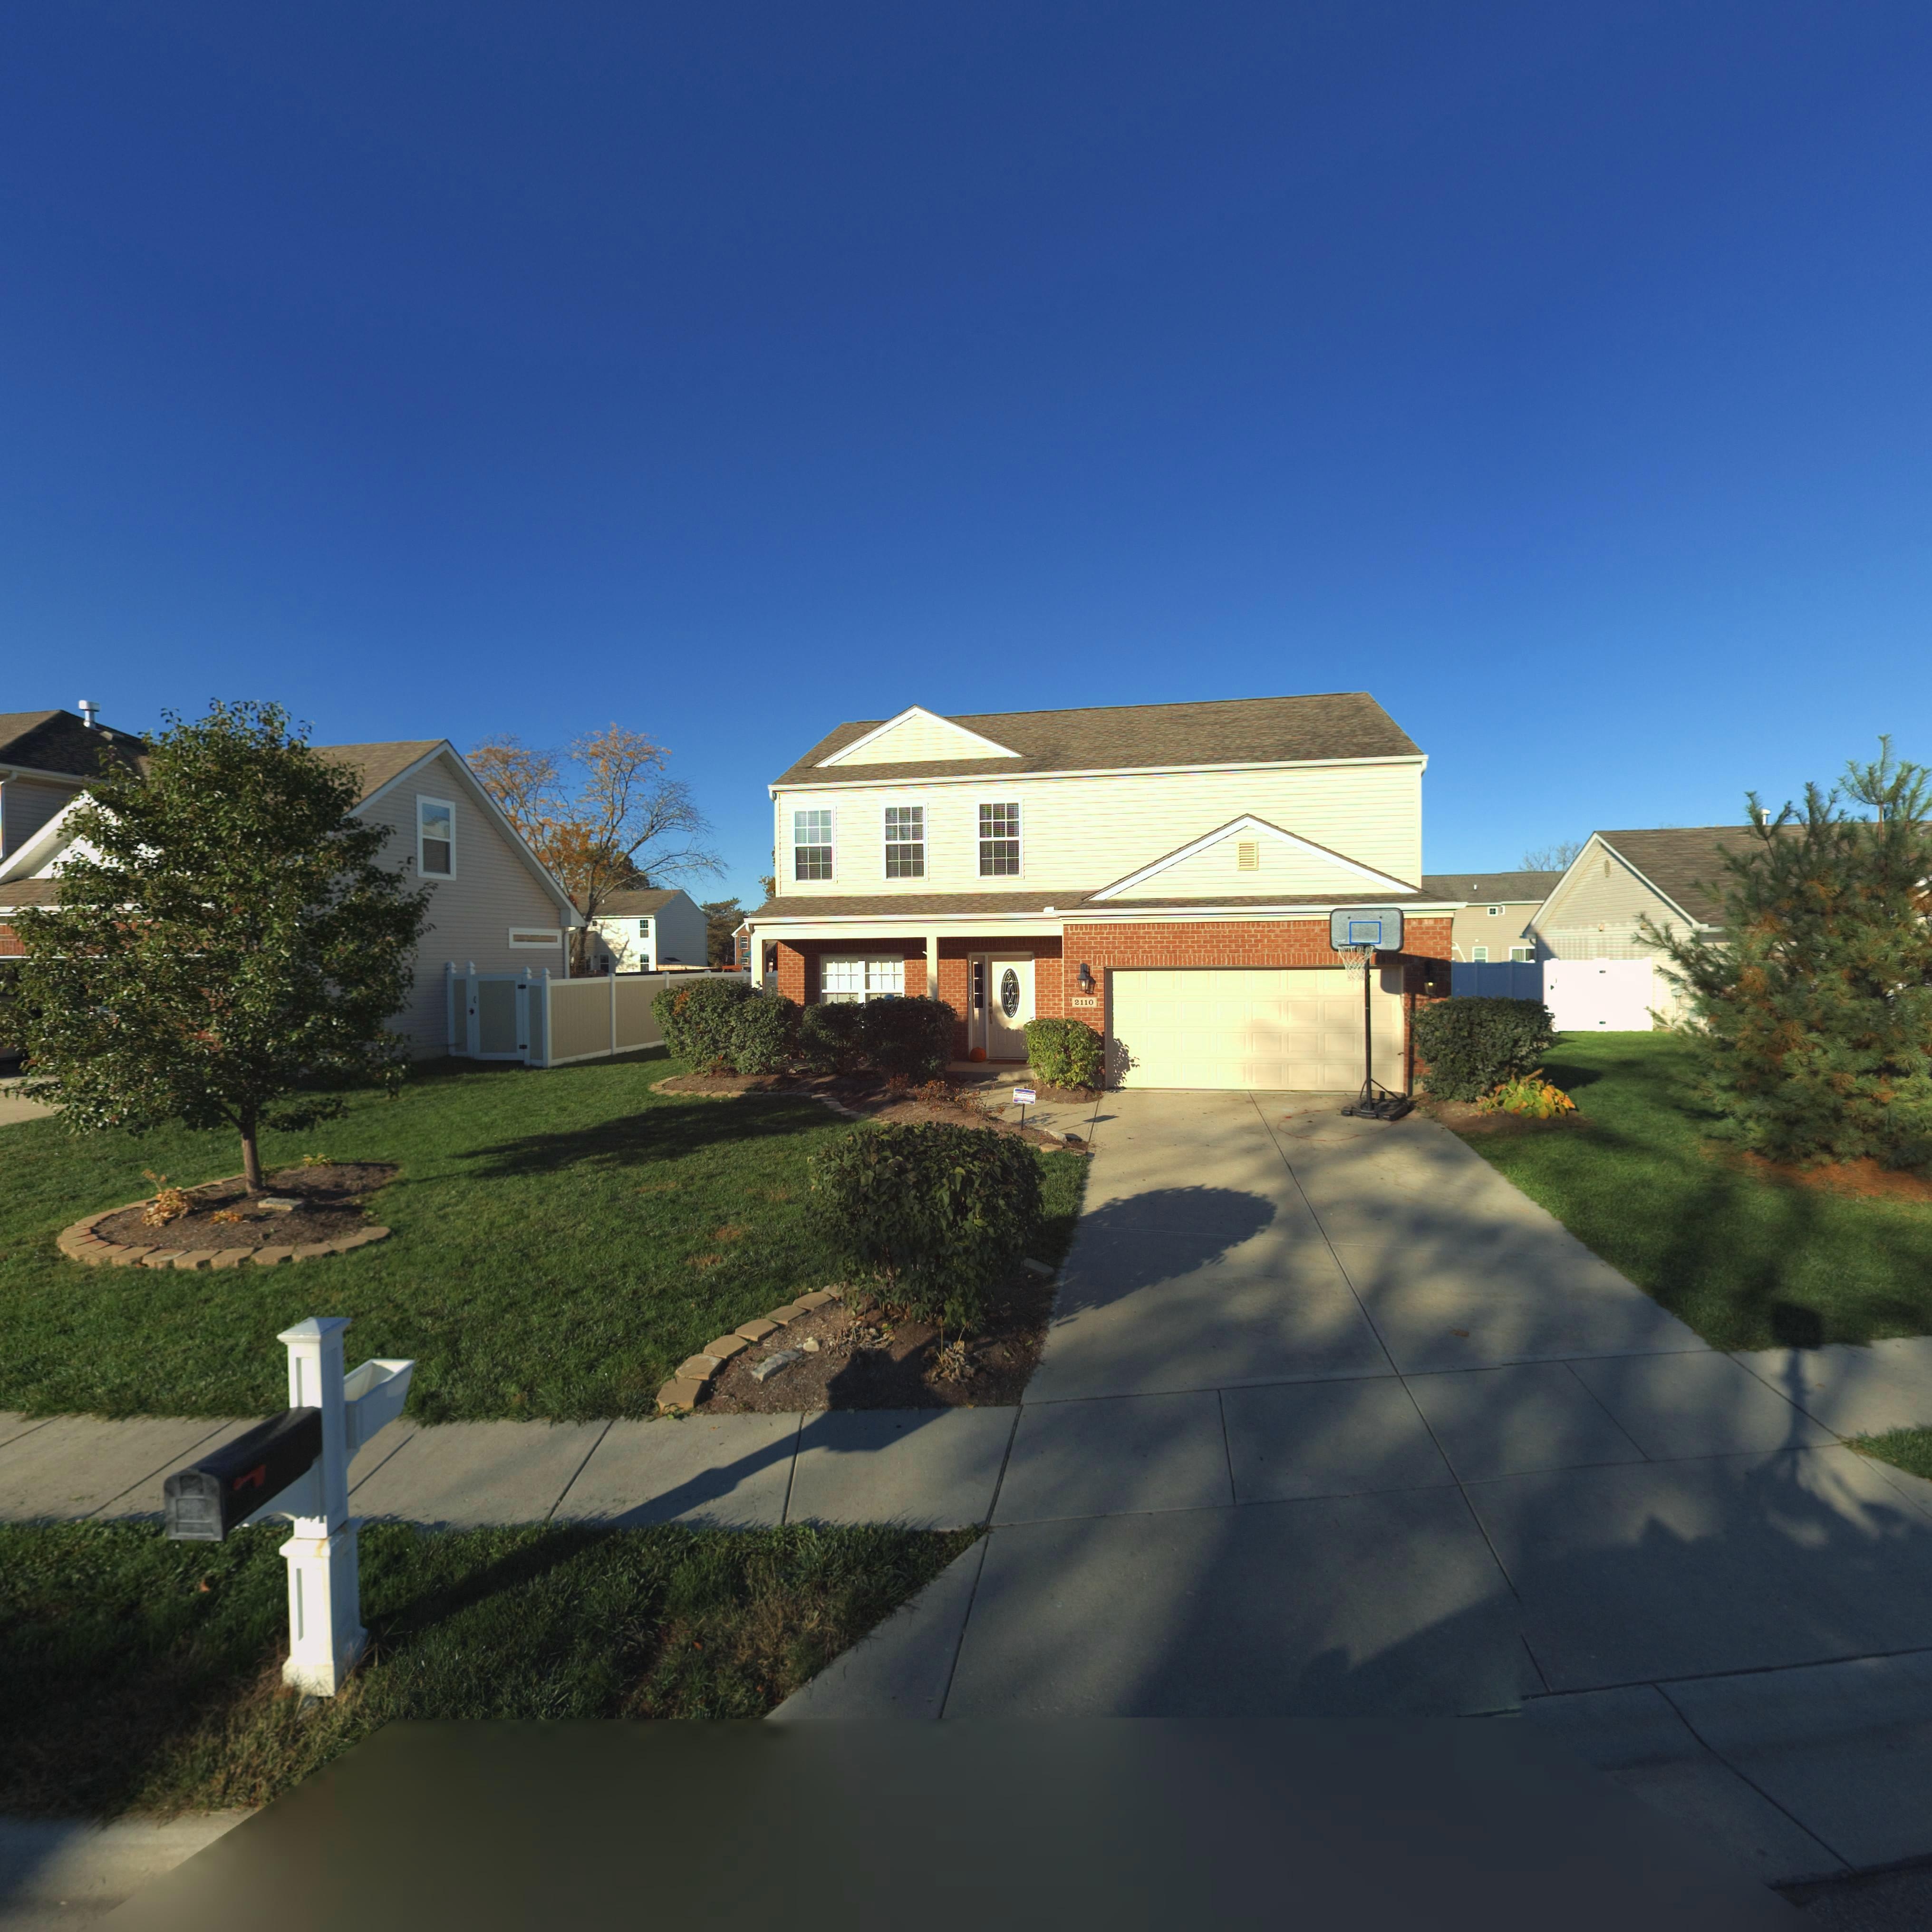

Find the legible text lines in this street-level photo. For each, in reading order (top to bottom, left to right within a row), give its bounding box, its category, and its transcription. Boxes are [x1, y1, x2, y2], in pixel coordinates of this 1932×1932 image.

[1073, 998, 1094, 1006] StreetNumber: 2110